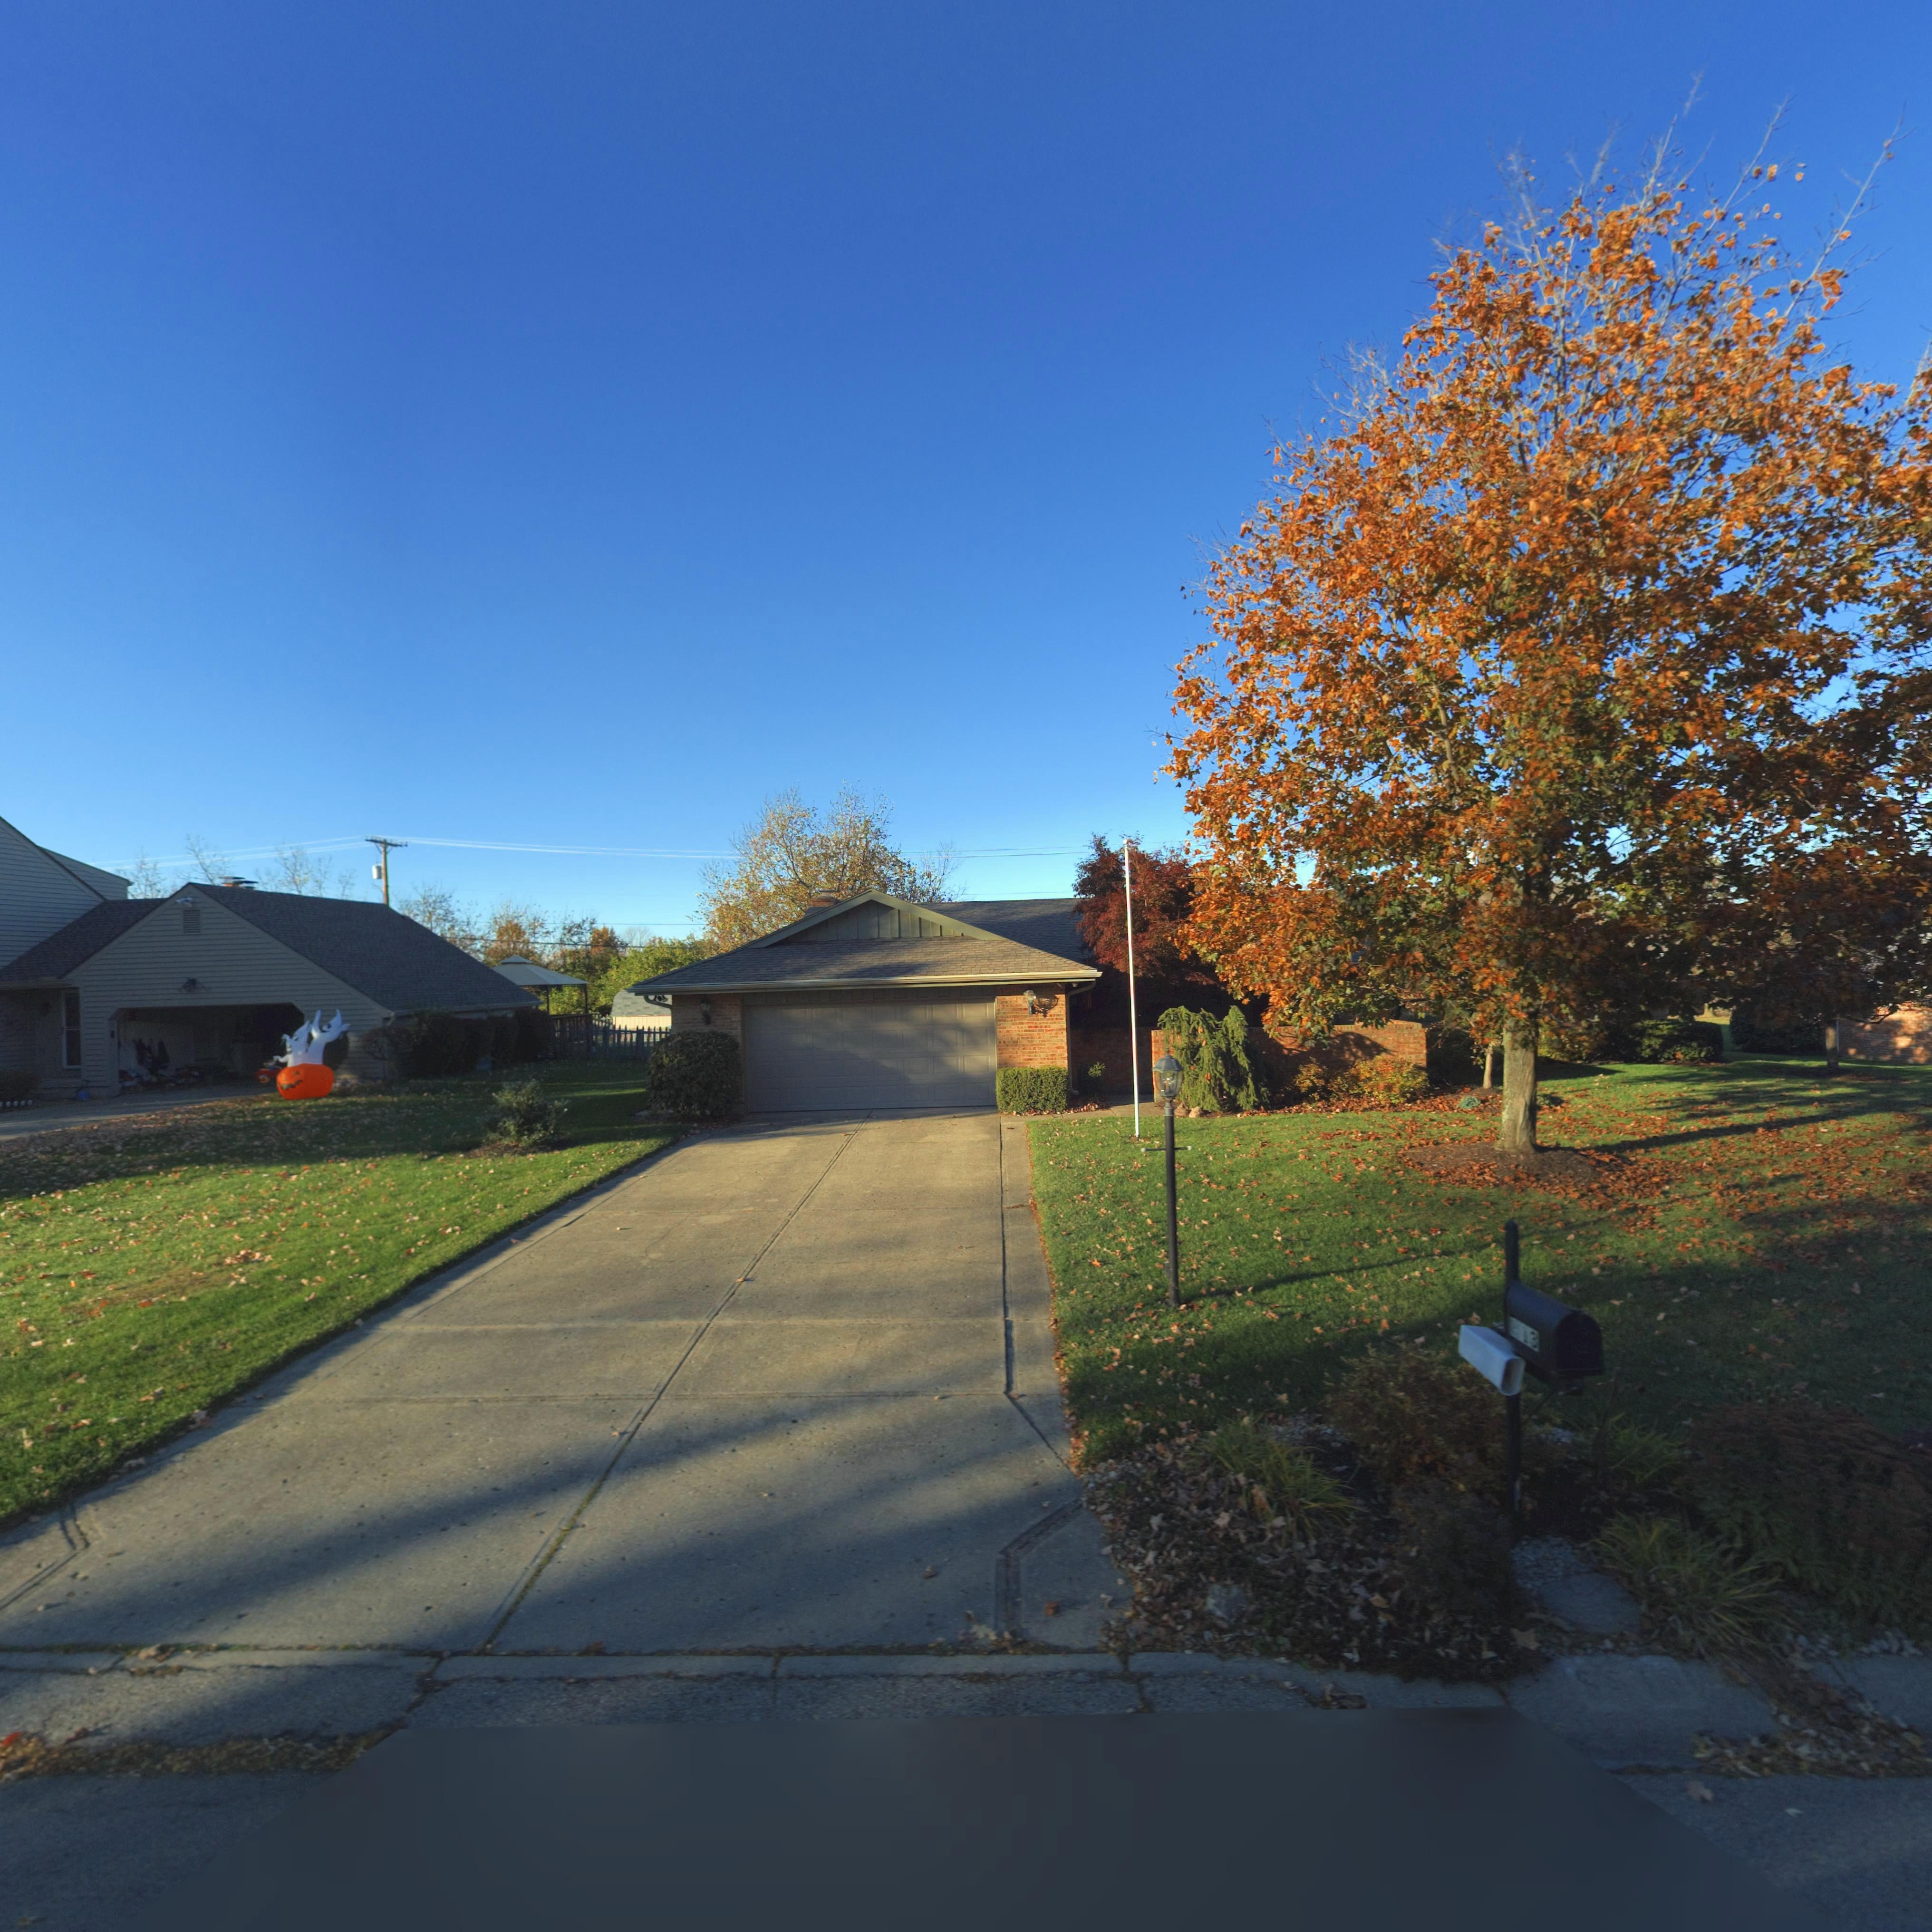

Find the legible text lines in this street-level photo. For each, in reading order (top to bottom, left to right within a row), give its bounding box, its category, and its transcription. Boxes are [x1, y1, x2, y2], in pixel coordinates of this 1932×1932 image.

[1521, 1324, 1539, 1352] StreetNumber: *3